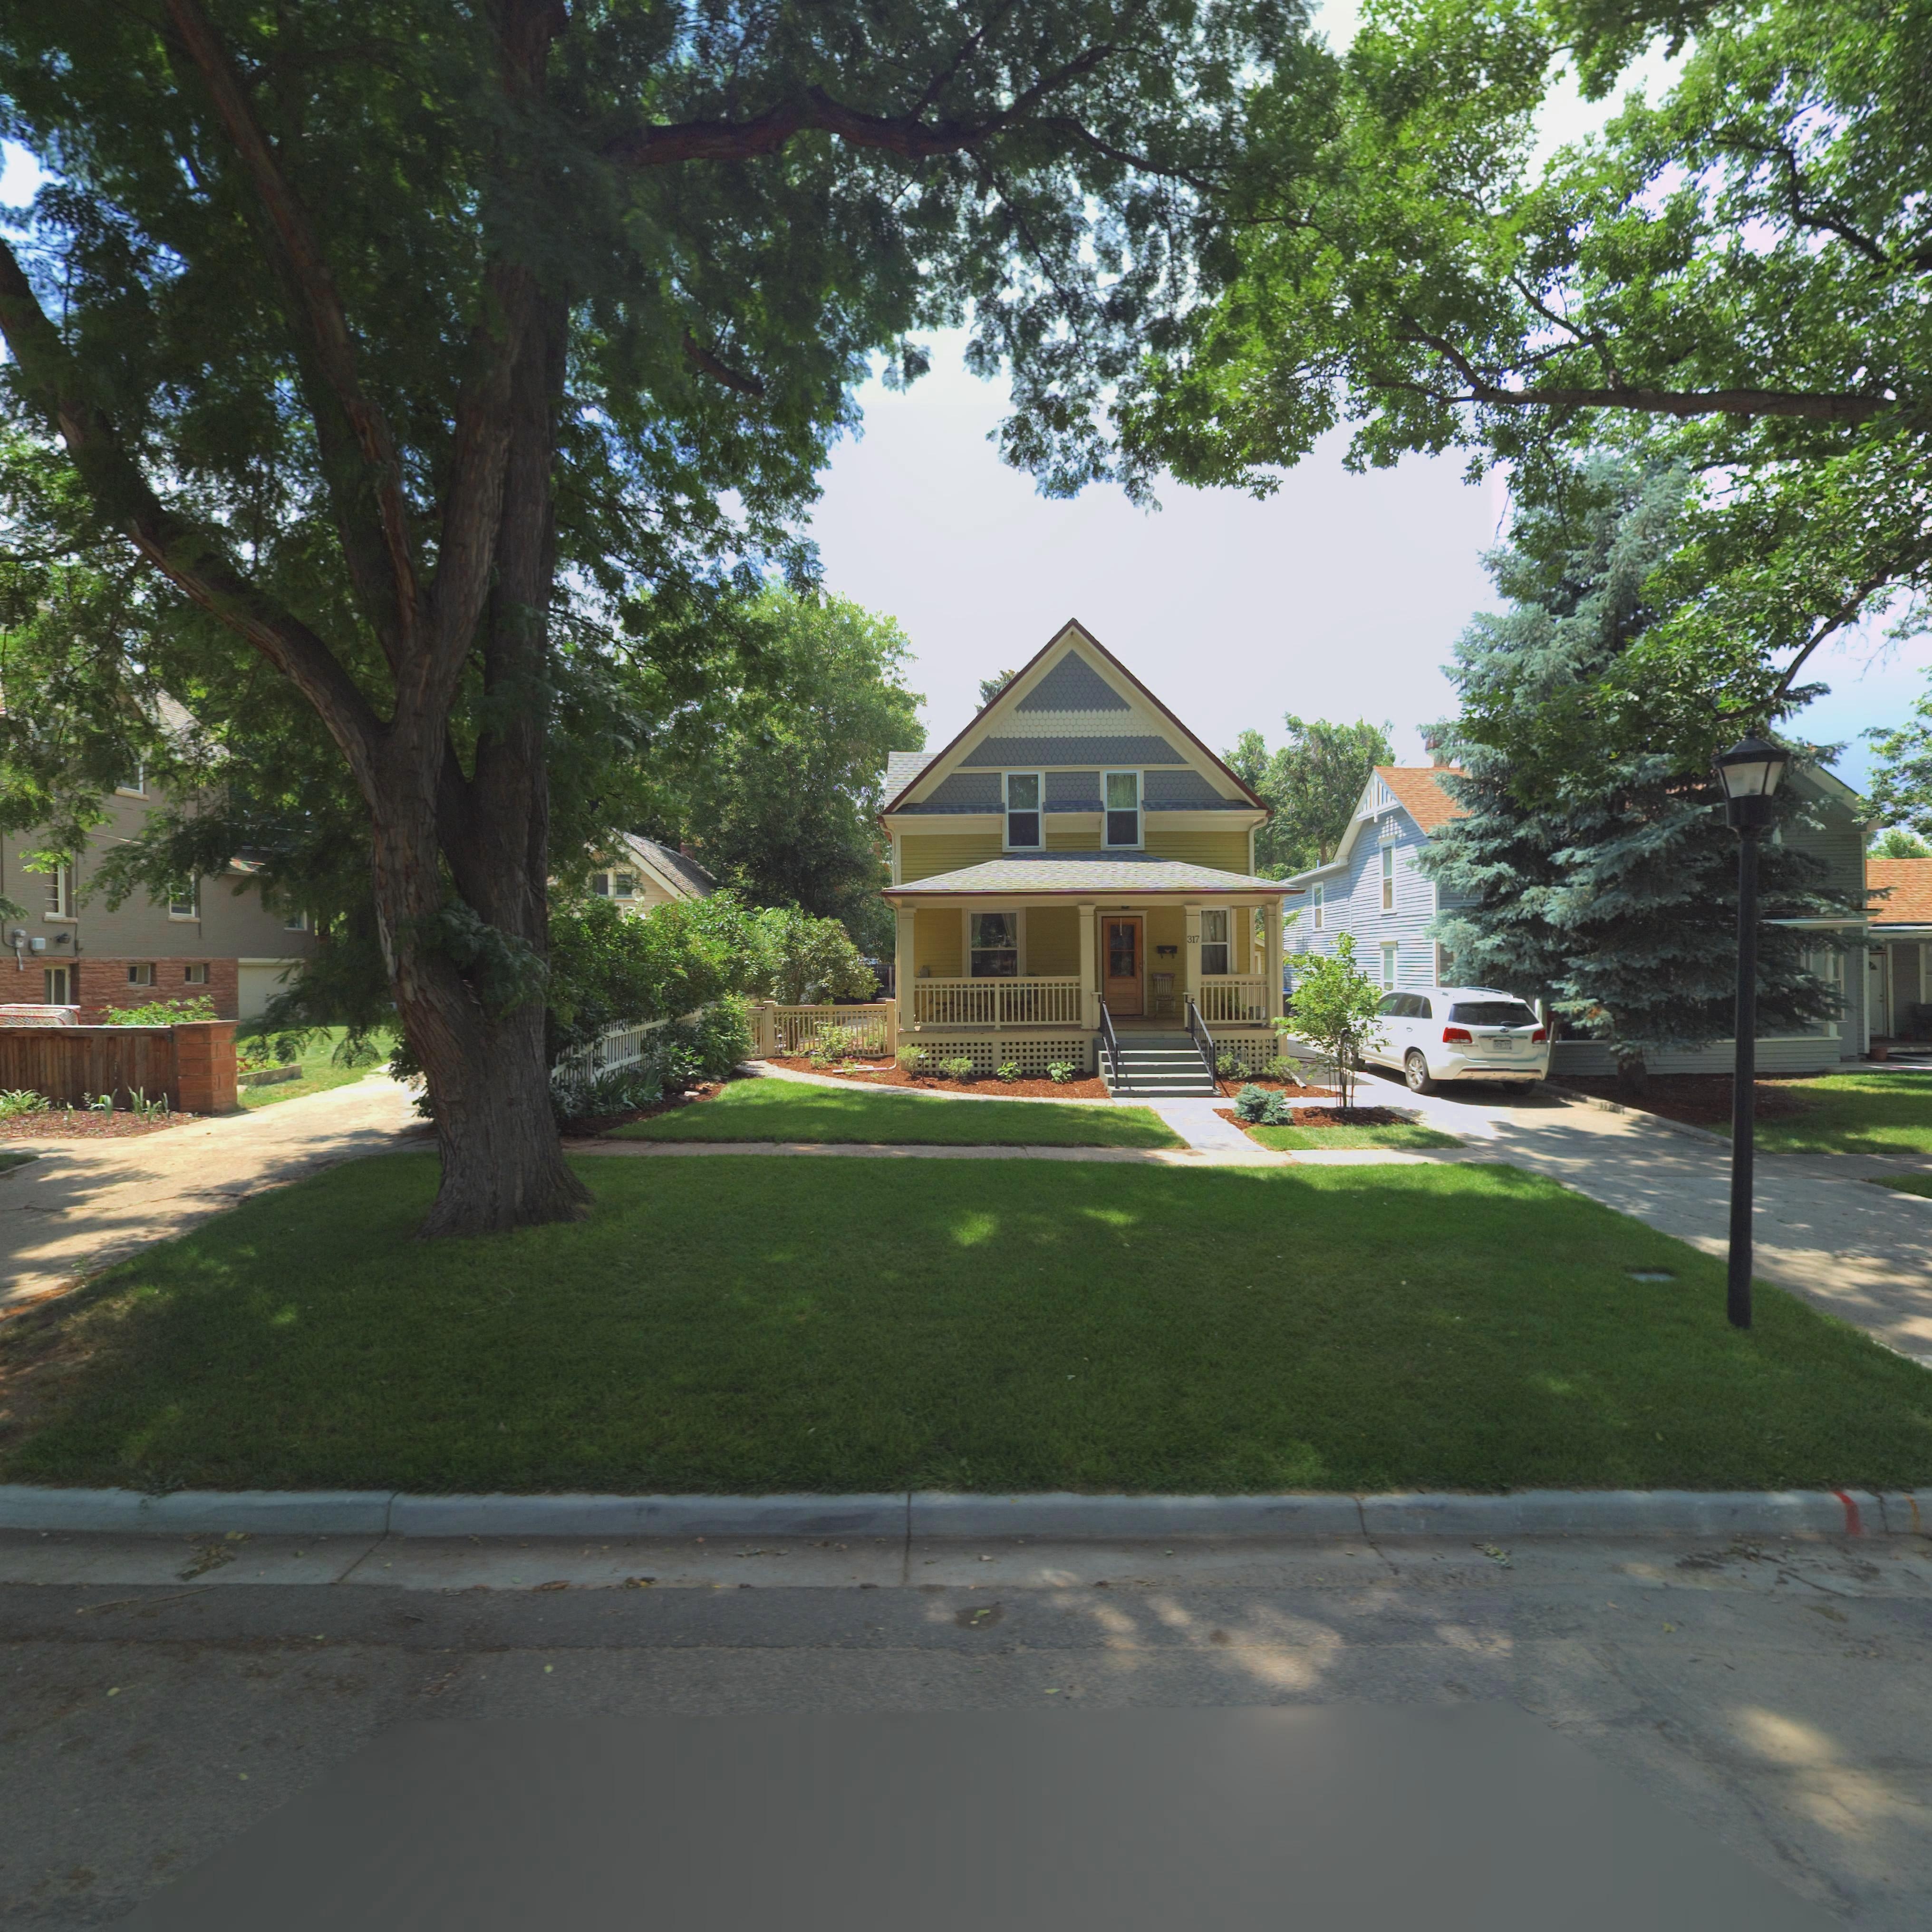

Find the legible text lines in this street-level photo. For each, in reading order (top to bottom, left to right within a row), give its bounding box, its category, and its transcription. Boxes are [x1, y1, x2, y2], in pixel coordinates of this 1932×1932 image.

[1187, 935, 1199, 943] StreetNumber: 317